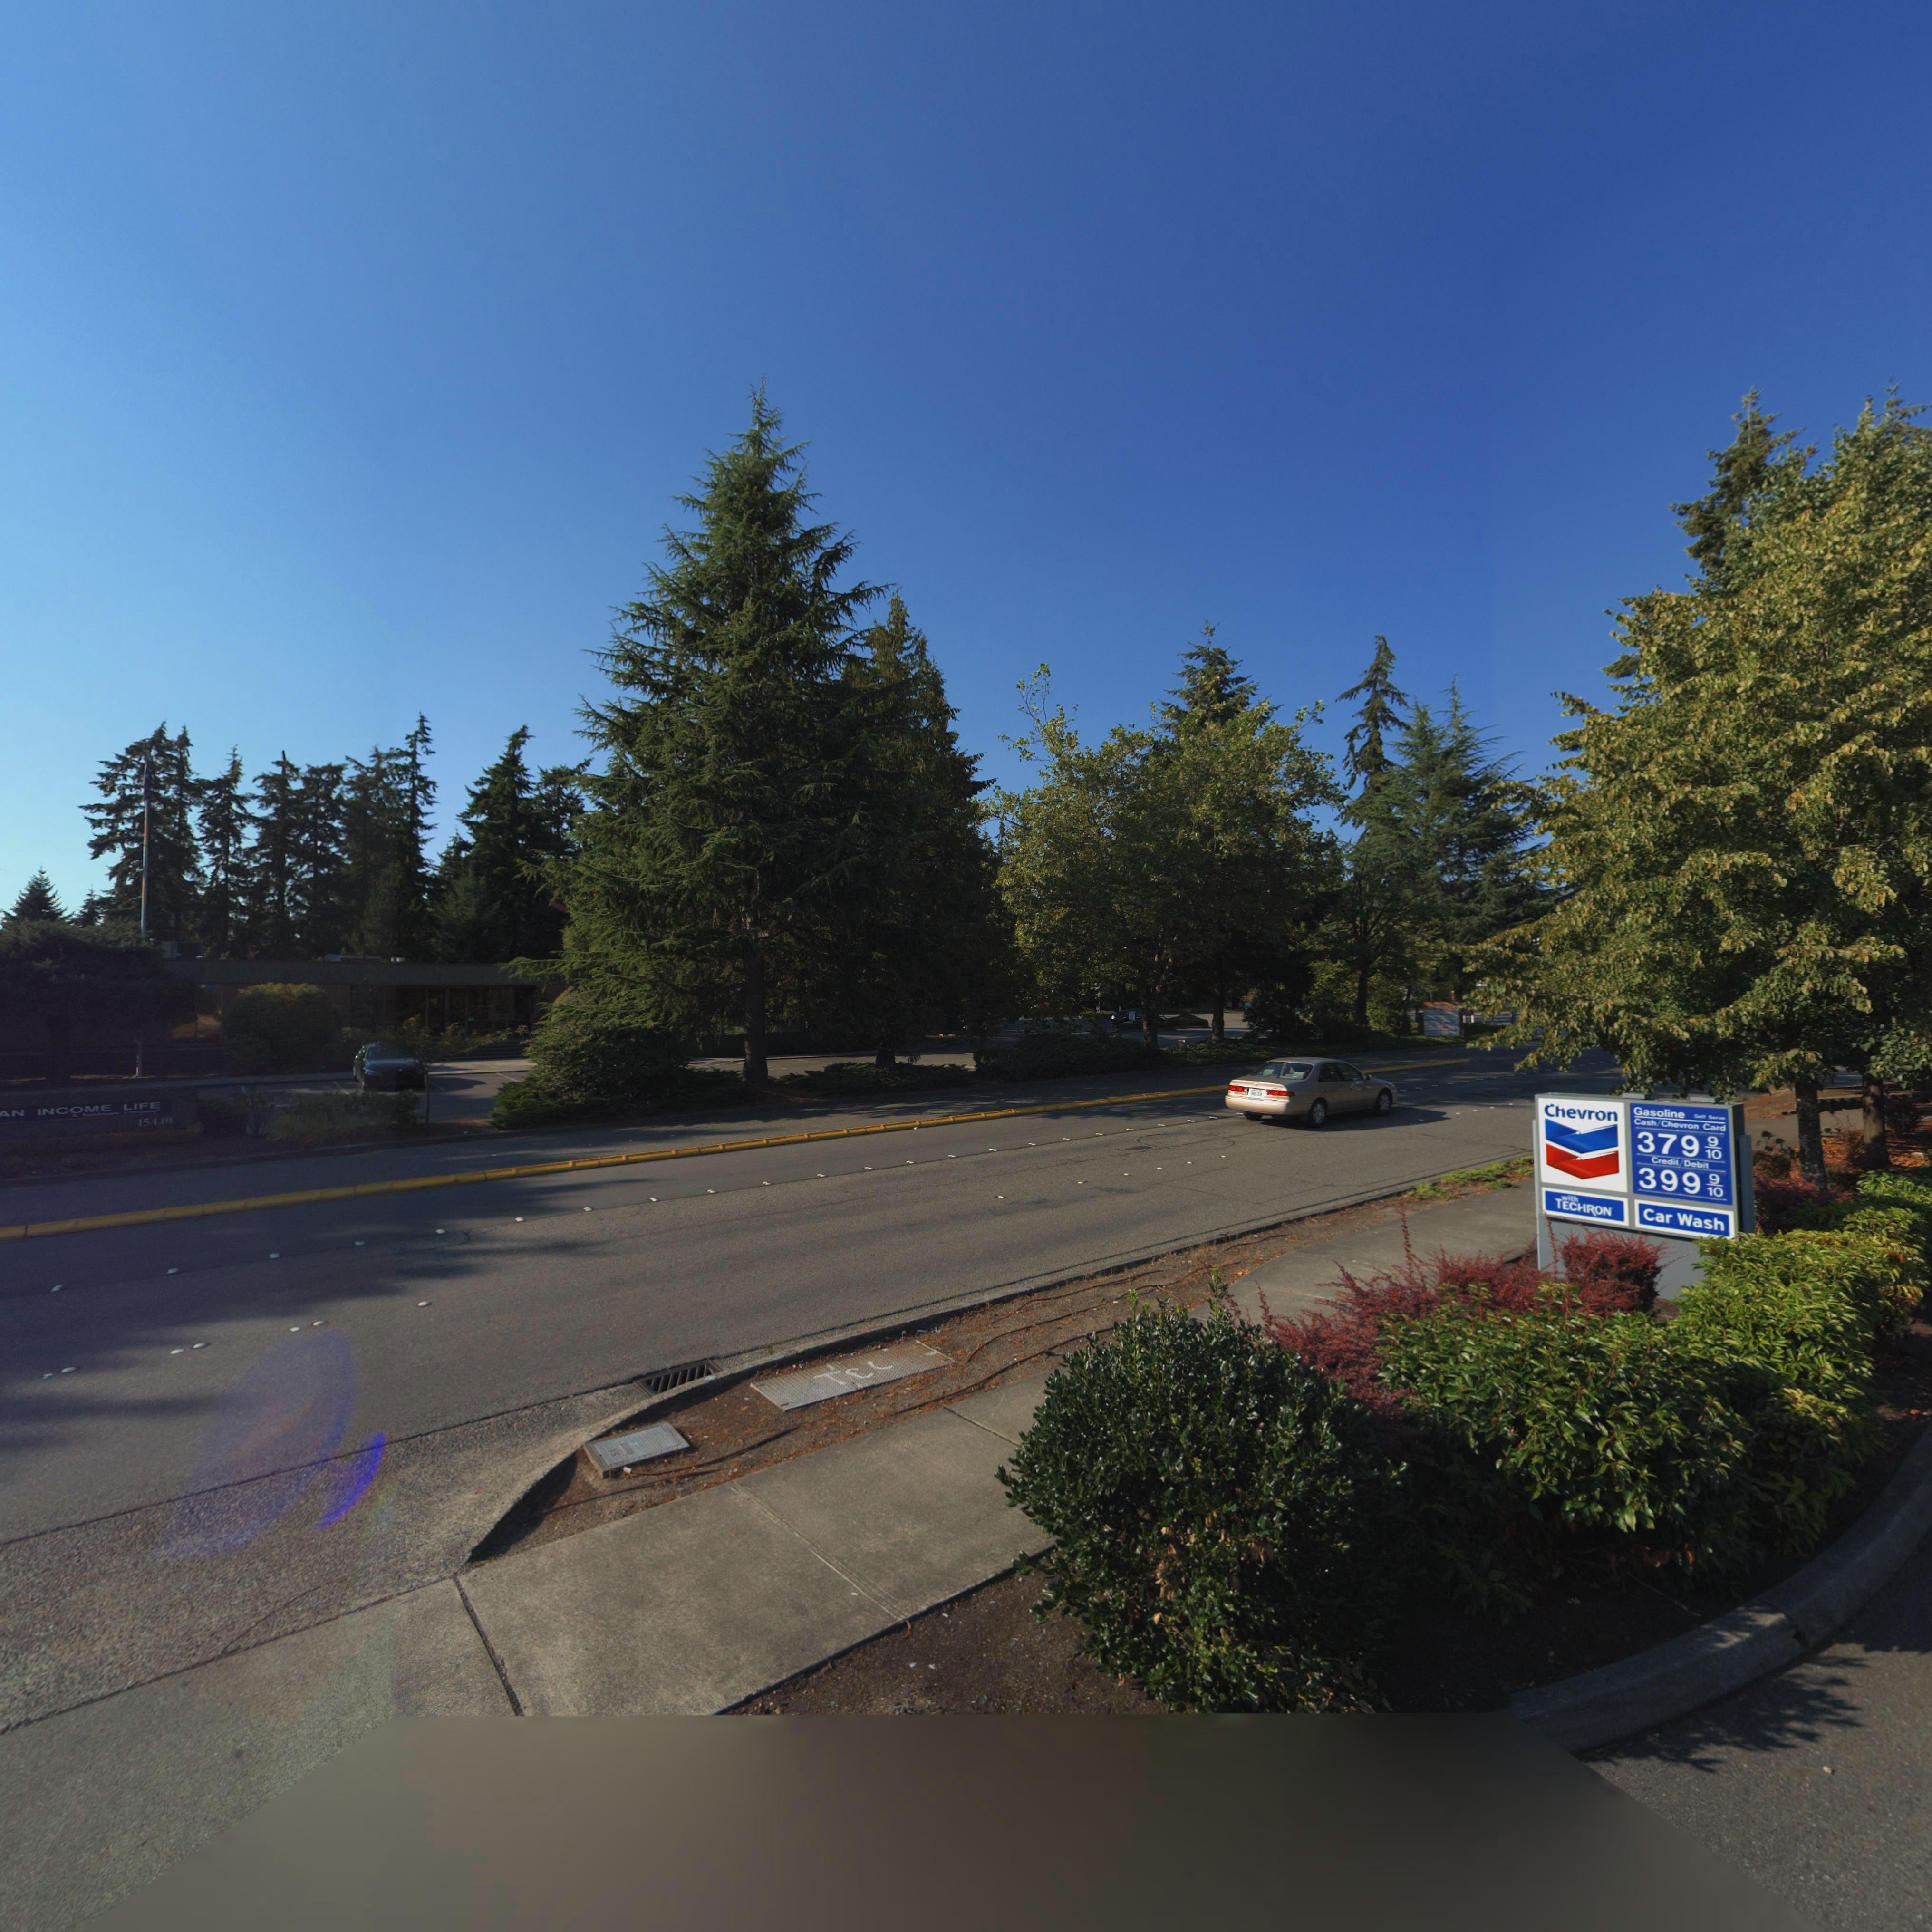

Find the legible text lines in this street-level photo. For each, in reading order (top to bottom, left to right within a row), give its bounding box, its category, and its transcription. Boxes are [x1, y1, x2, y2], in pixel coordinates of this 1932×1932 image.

[1542, 1101, 1620, 1124] BusinessName: Chevron